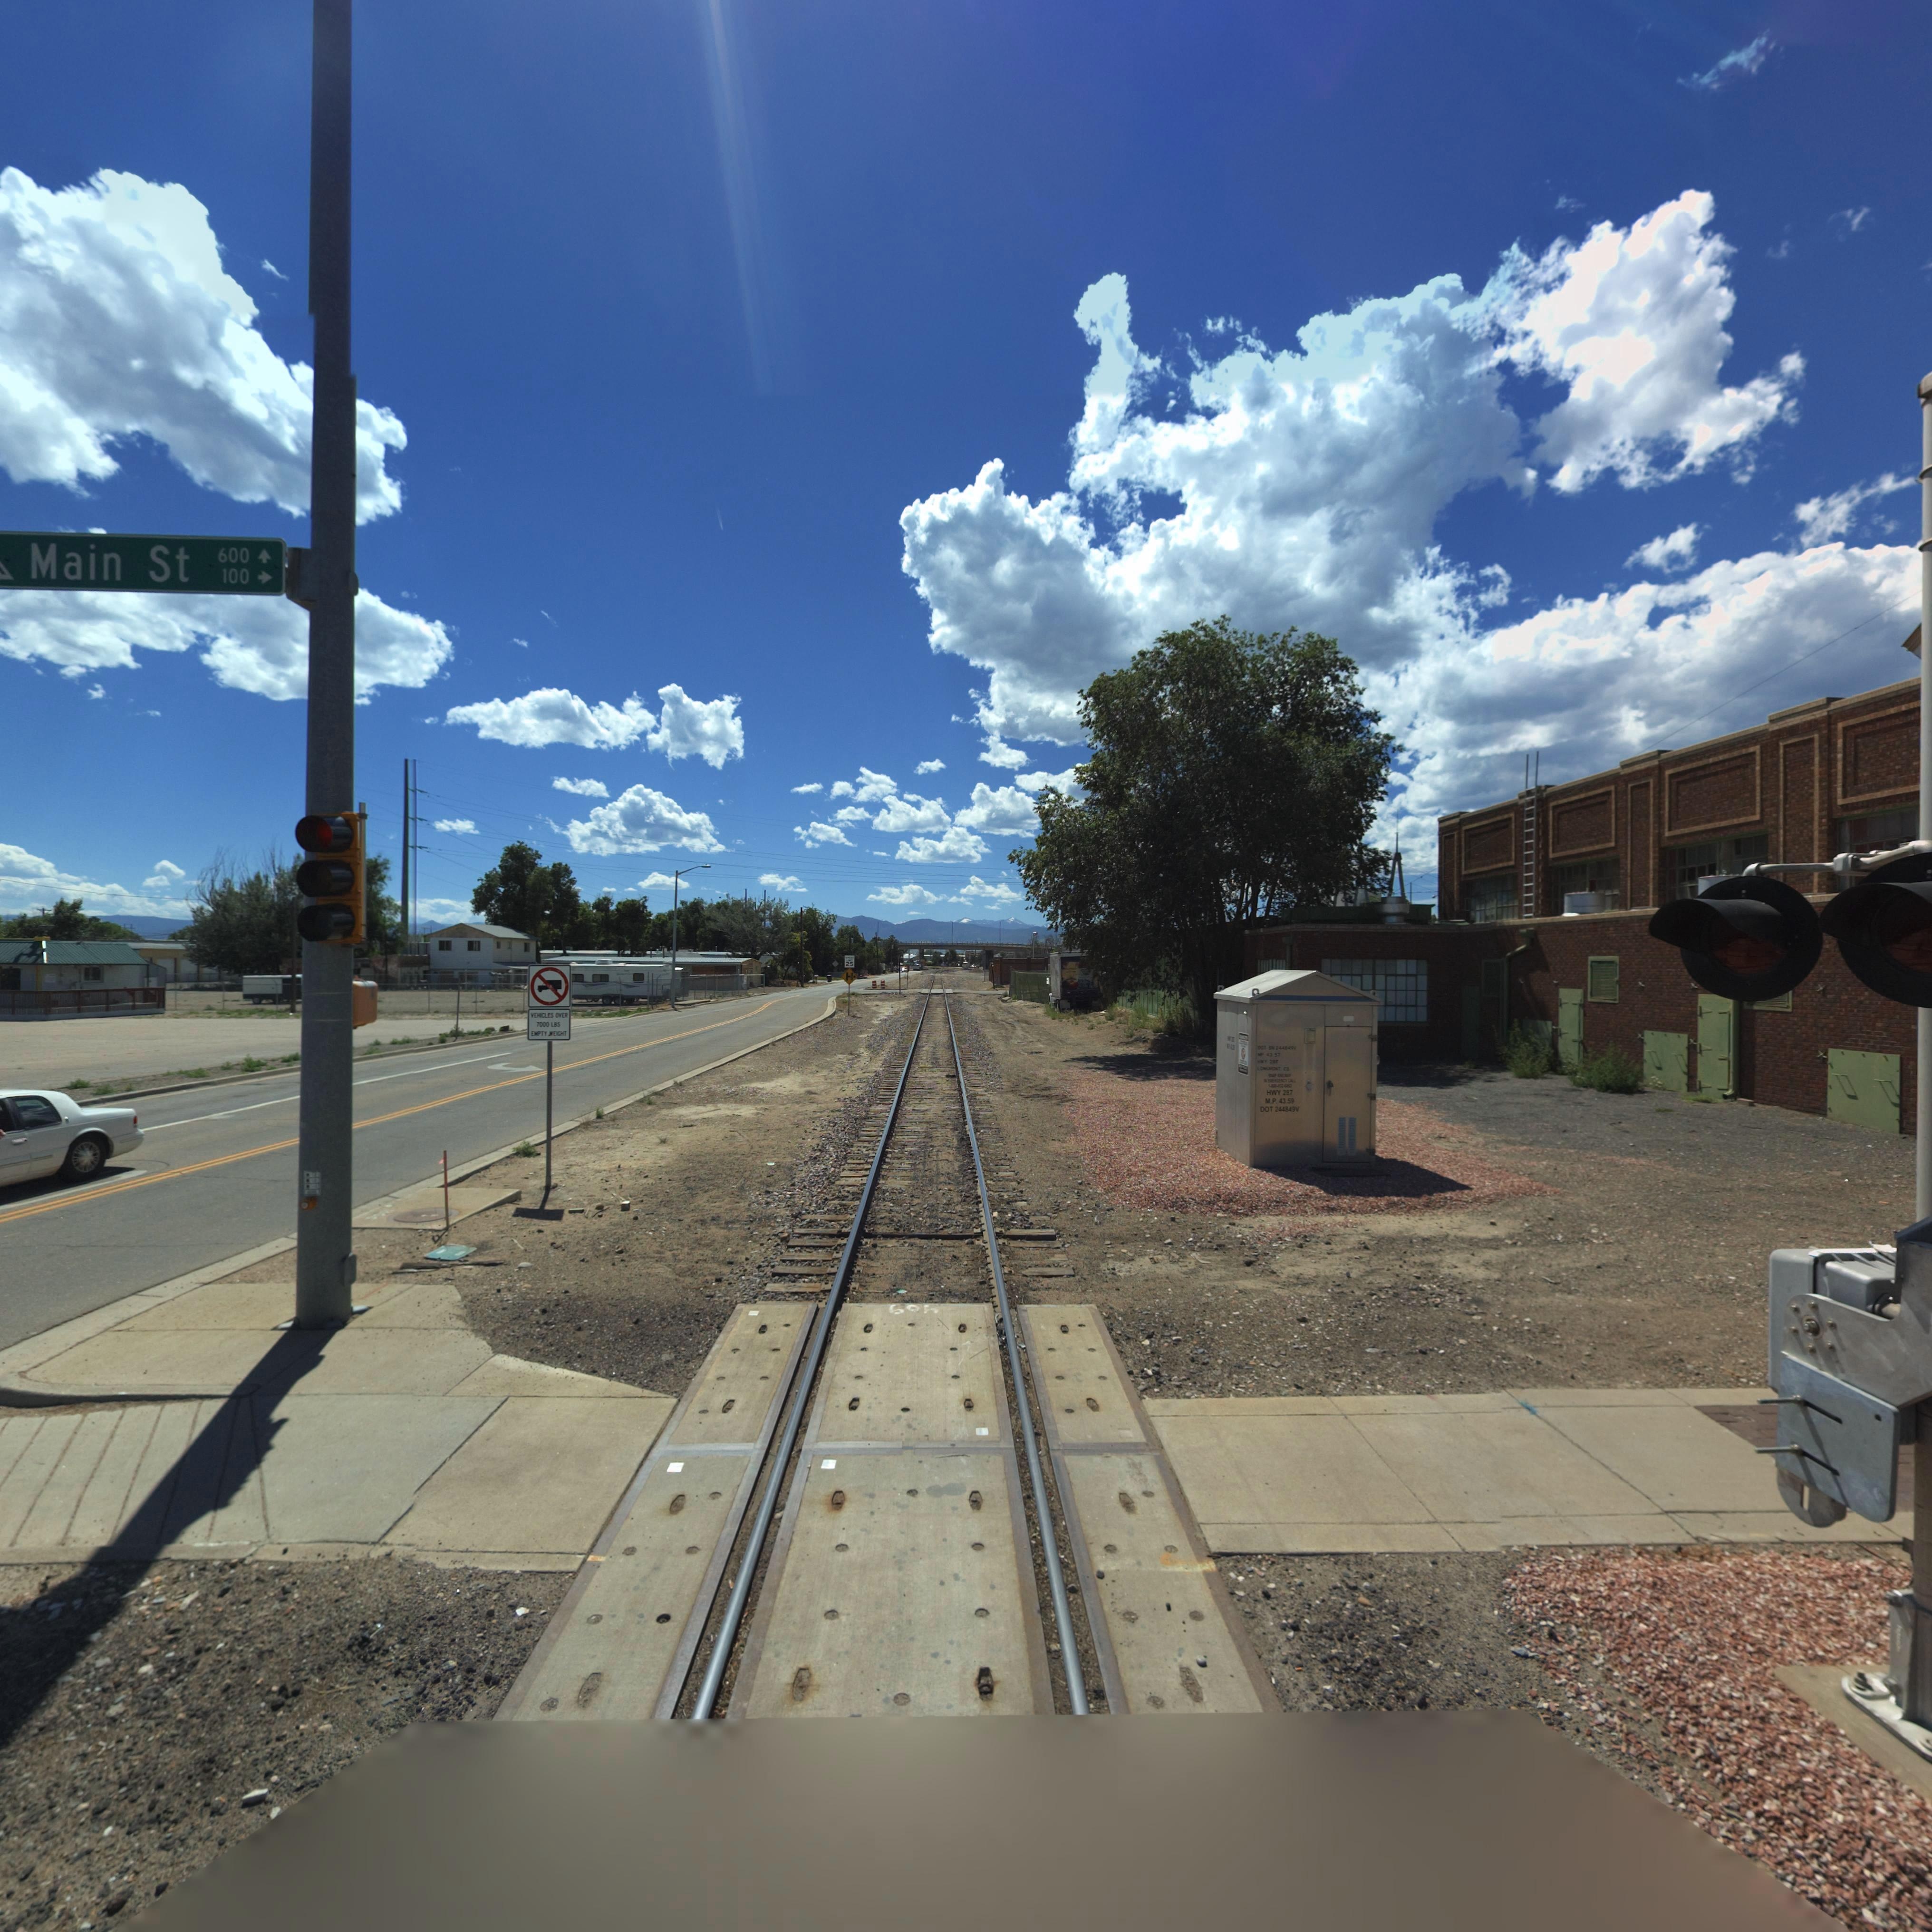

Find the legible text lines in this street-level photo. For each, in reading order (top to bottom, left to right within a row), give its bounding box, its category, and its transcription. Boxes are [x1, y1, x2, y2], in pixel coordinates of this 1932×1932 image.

[43, 560, 85, 588] StreetNumber: 10
[217, 547, 250, 585] StreetNumber: 588
[222, 567, 250, 585] StreetNumber: 100